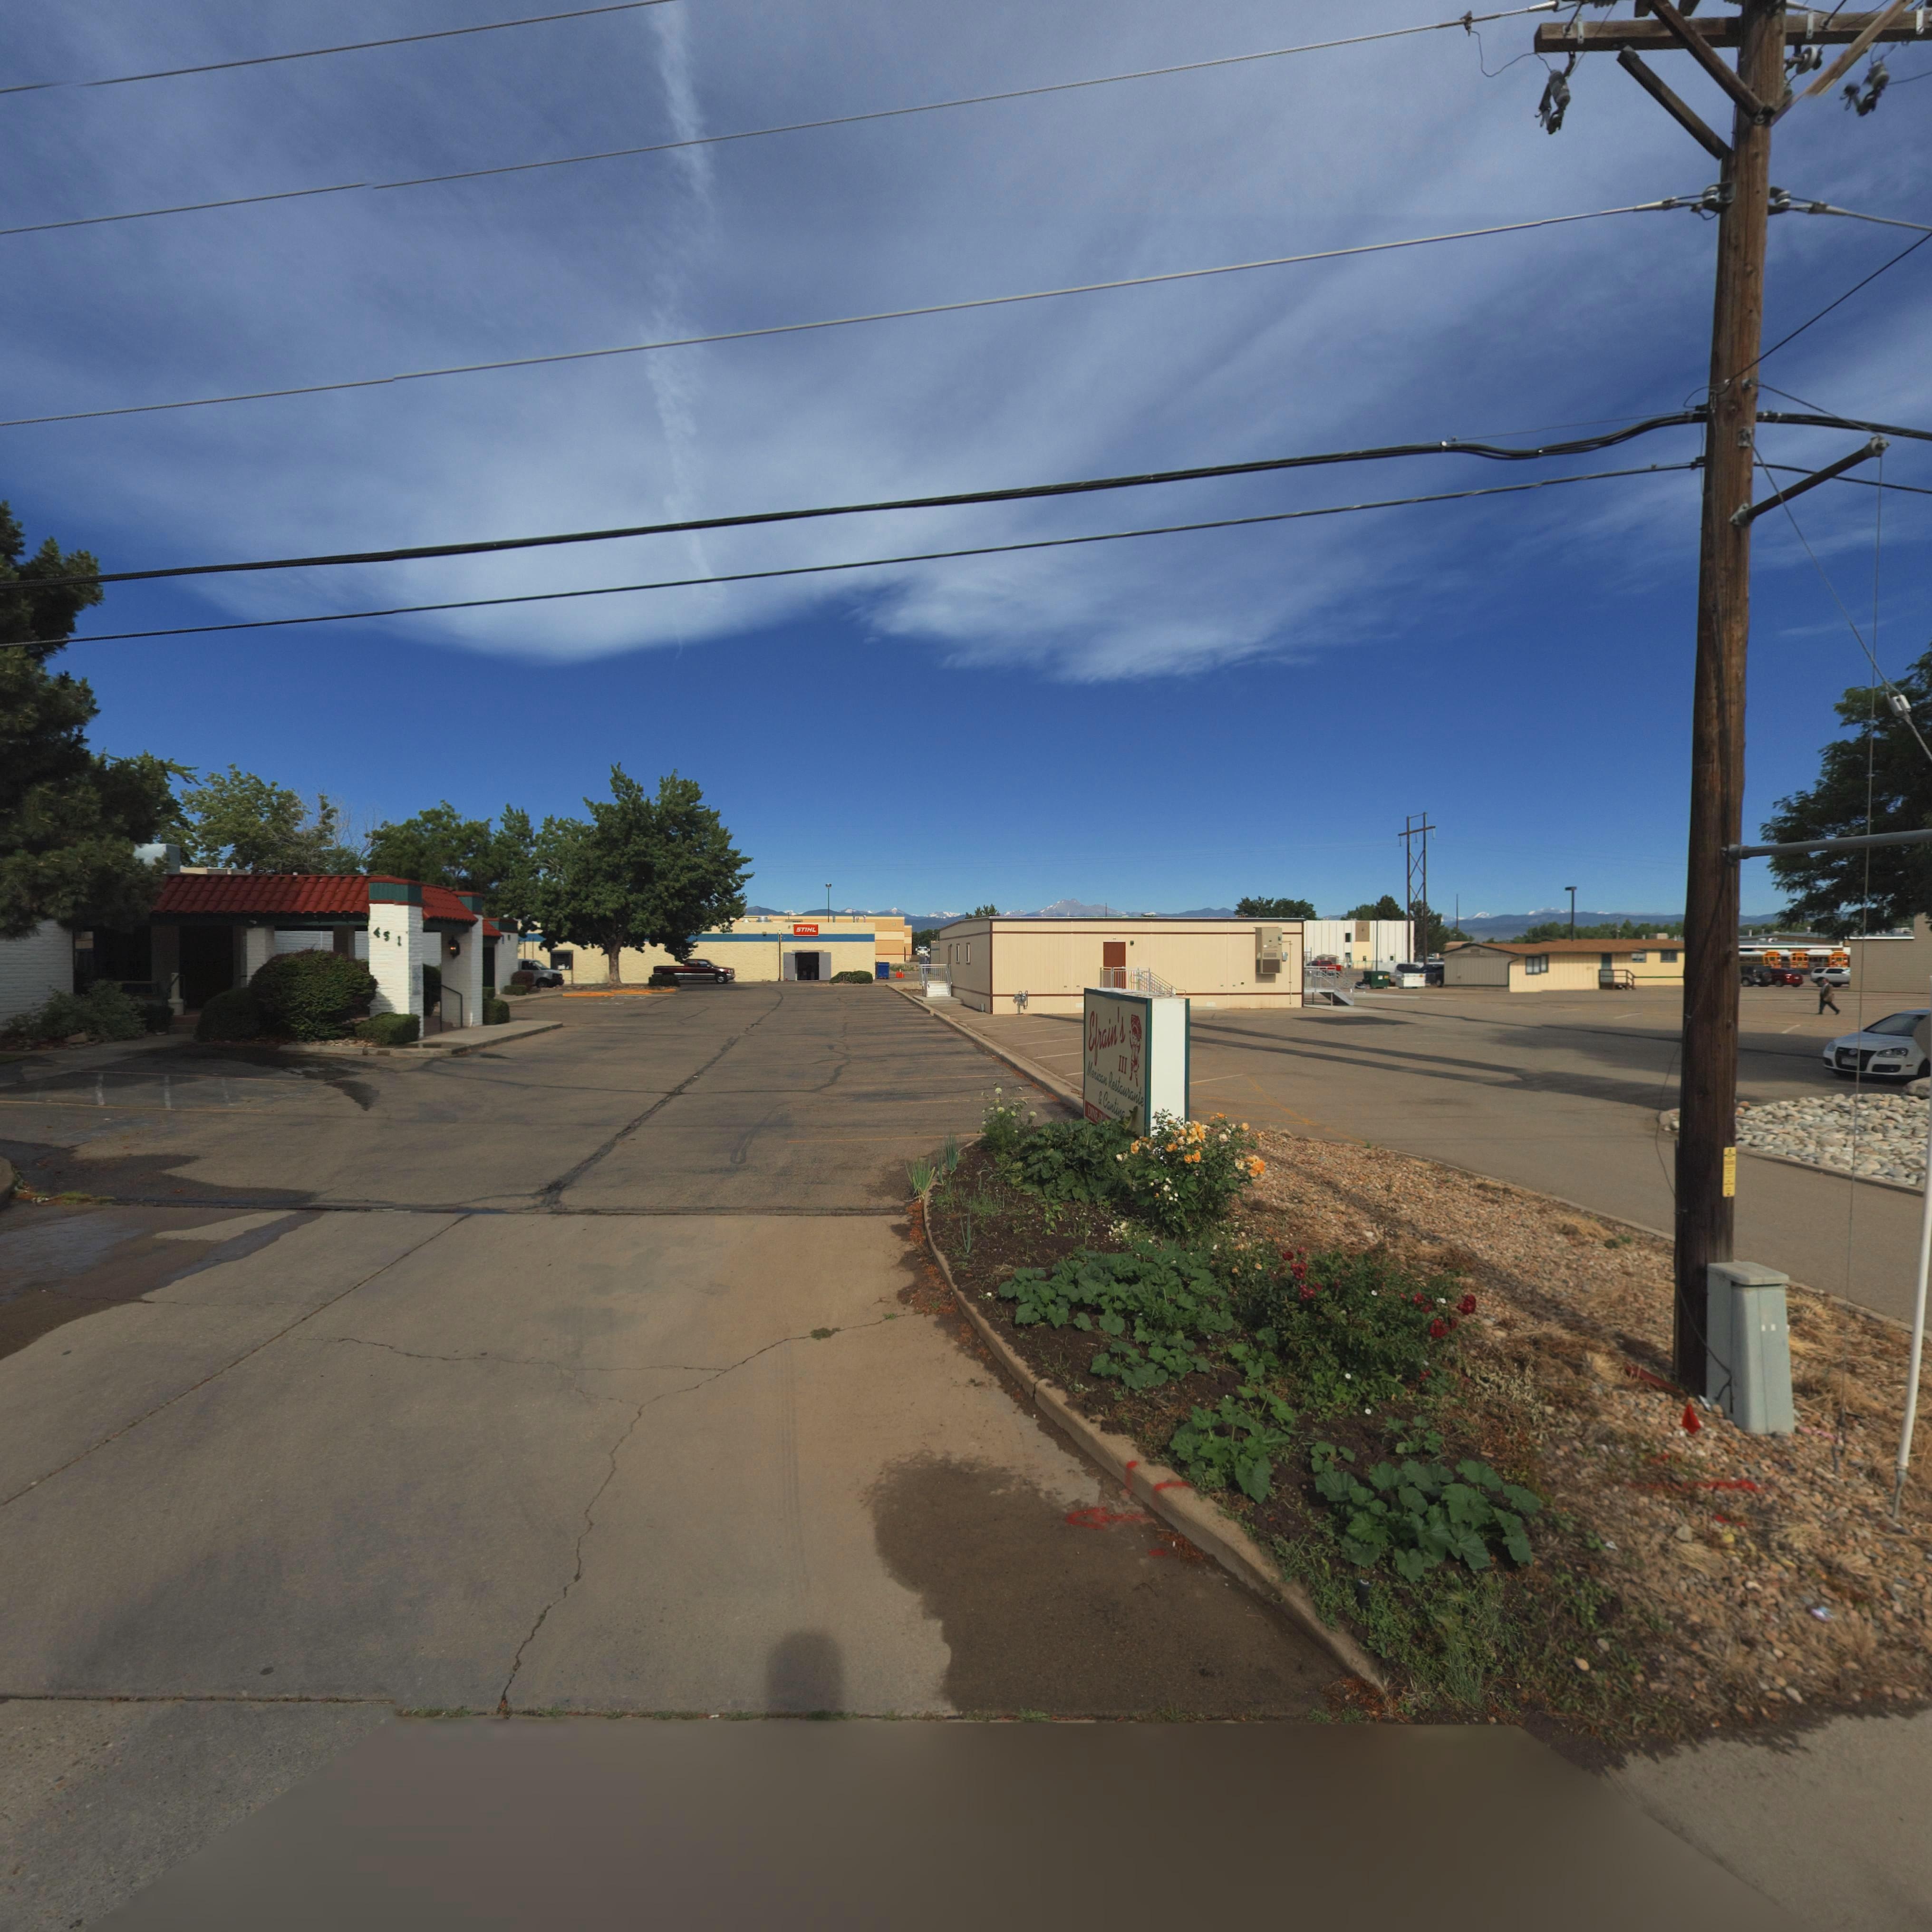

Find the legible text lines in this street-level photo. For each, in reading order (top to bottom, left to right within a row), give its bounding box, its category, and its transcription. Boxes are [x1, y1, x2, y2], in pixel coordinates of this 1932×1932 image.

[372, 926, 402, 947] StreetNumber: 451
[795, 927, 816, 932] BusinessName: STIHL
[1088, 1005, 1126, 1067] BusinessName: Efrain's
[1117, 1054, 1128, 1075] BusinessName: III